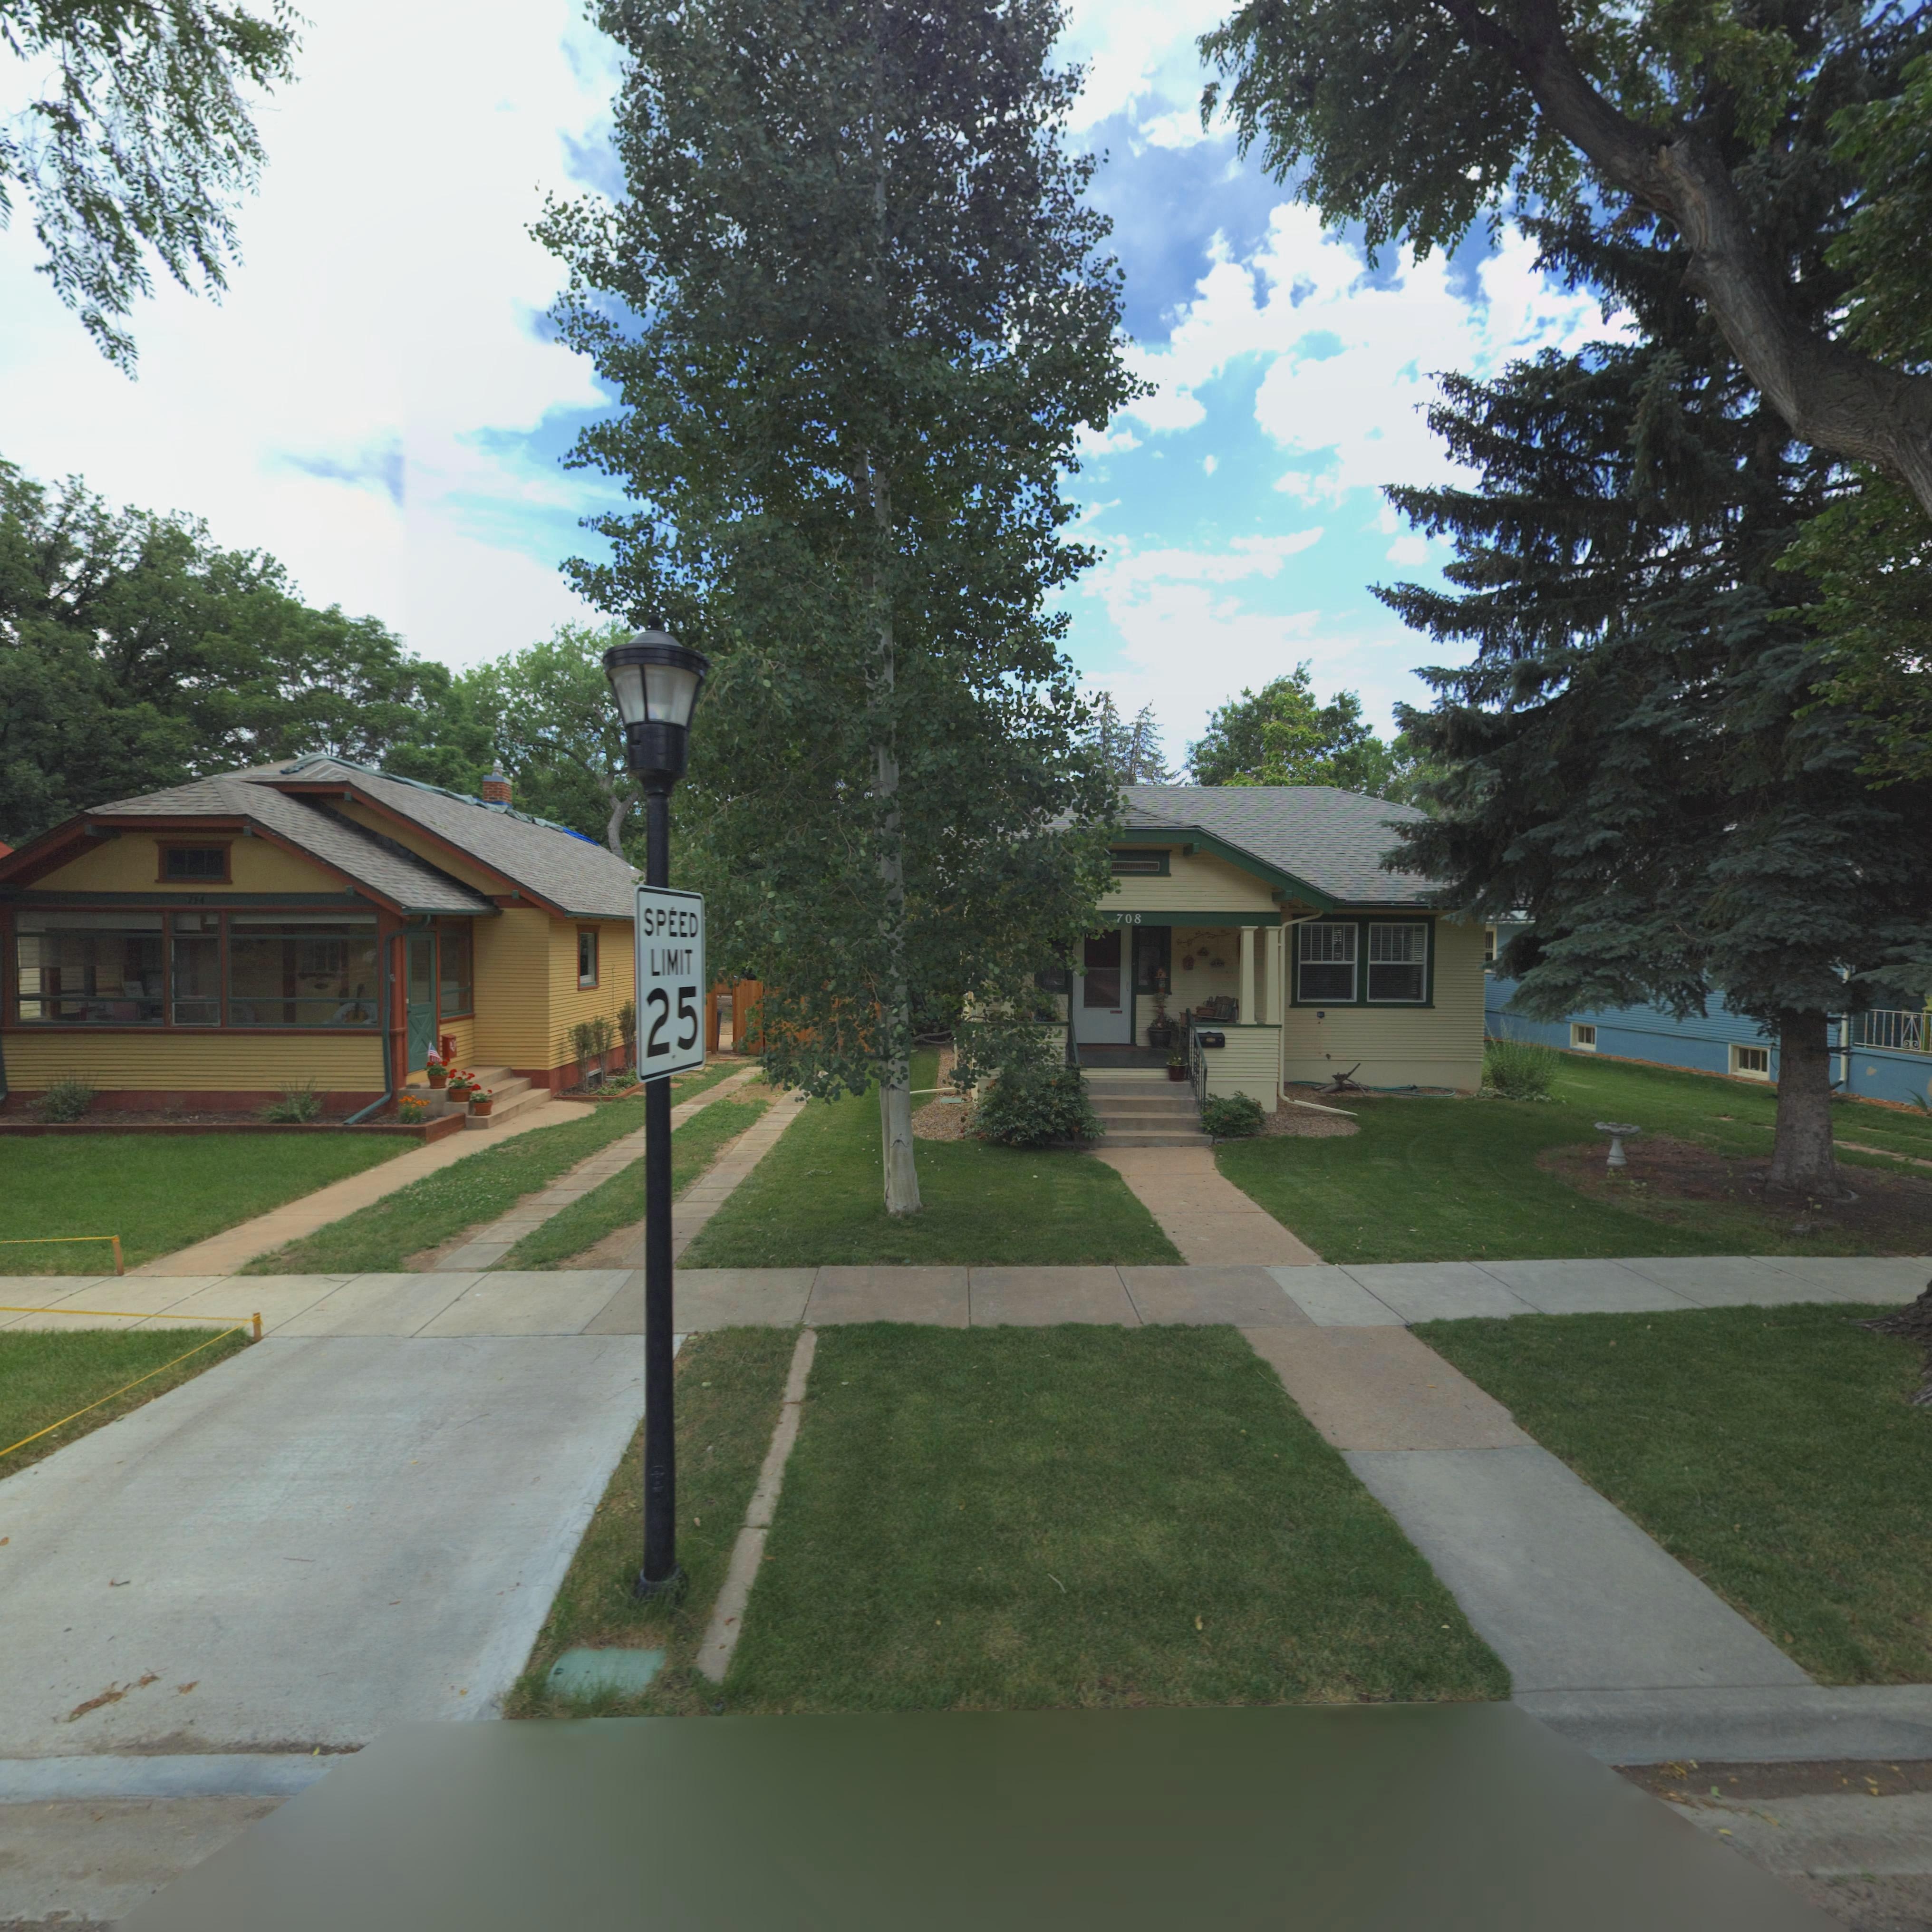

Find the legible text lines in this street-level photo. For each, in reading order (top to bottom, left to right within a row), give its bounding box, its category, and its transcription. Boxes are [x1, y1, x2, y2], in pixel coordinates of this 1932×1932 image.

[185, 895, 205, 905] StreetNumber: 714
[1115, 913, 1141, 924] StreetNumber: 708